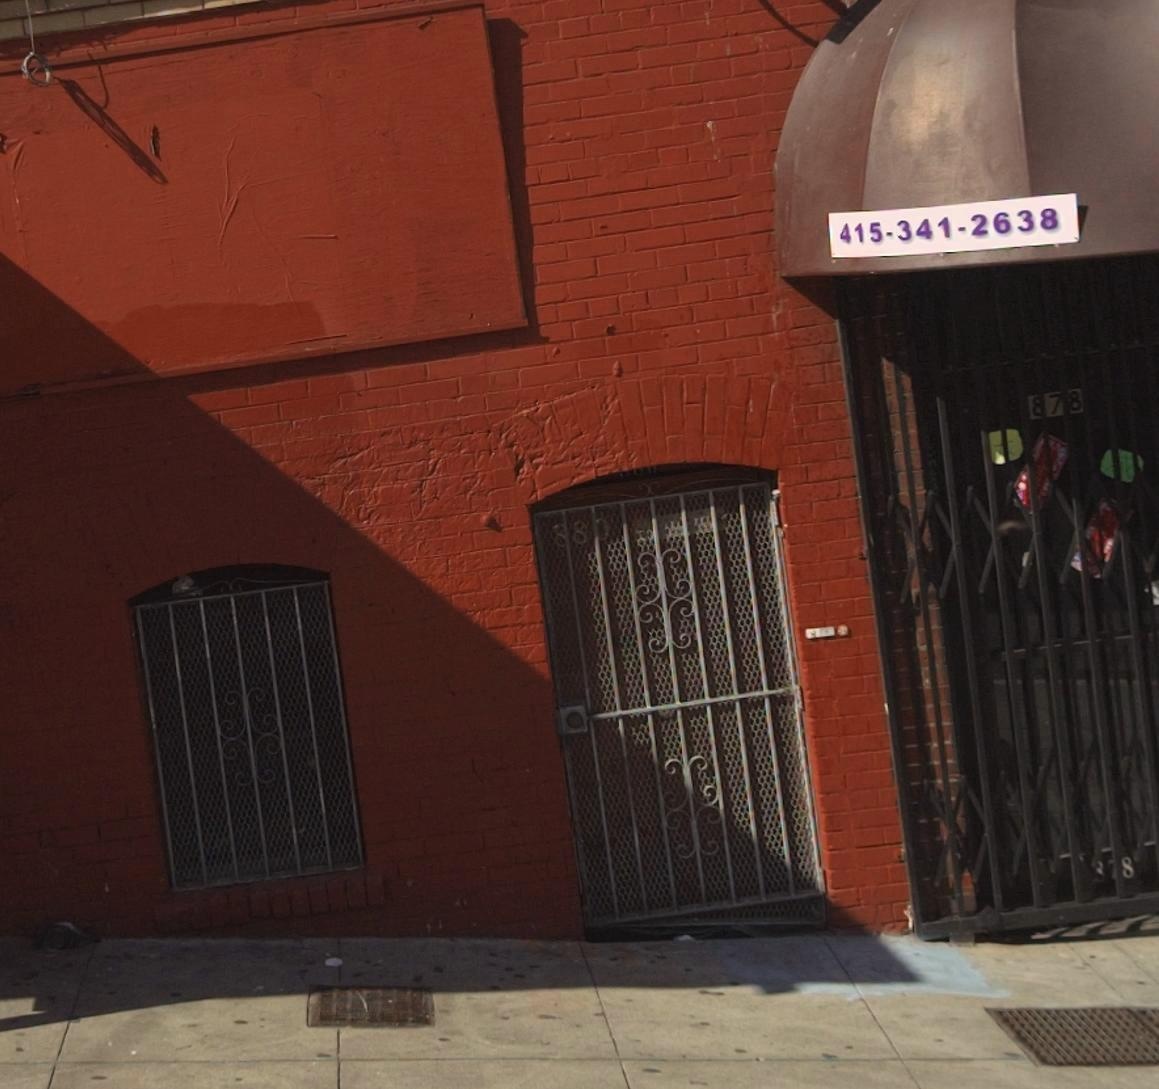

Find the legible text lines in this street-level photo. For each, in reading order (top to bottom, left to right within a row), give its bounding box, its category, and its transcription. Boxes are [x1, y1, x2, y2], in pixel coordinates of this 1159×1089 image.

[837, 206, 1062, 249] None: 415-341-2638
[1028, 387, 1084, 420] StreetNumber: 878
[548, 514, 613, 550] StreetNumber: 880